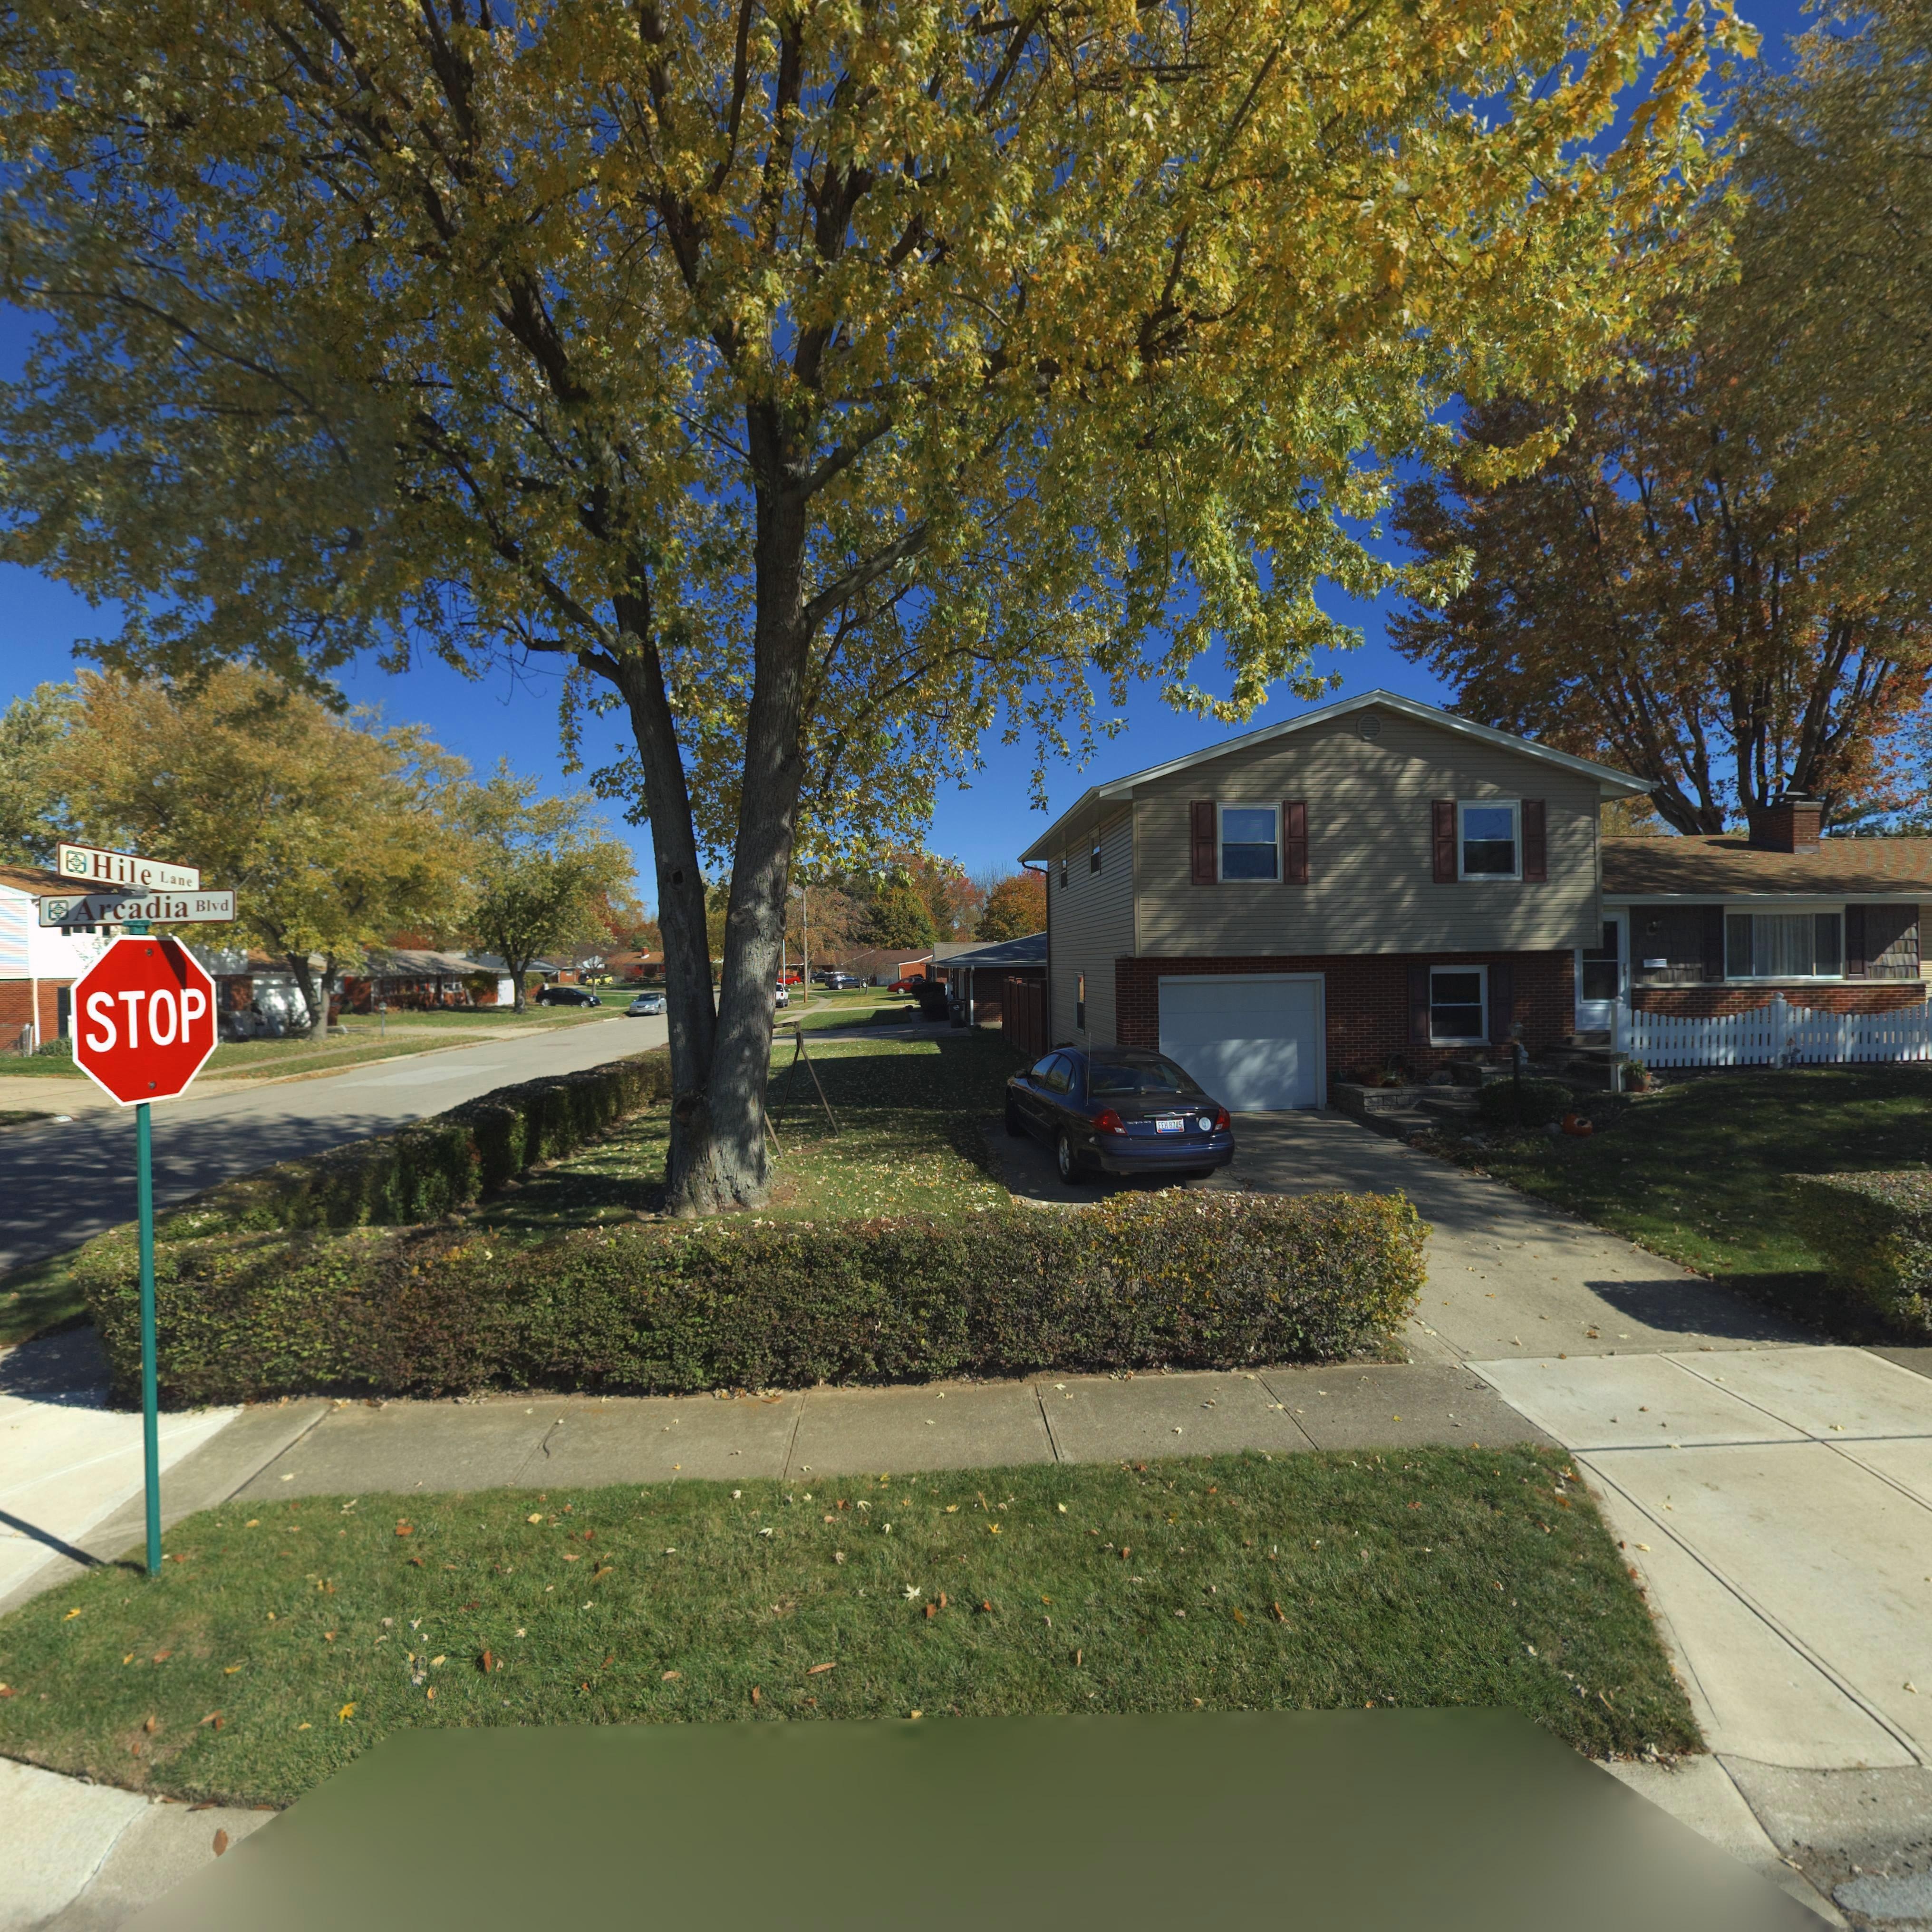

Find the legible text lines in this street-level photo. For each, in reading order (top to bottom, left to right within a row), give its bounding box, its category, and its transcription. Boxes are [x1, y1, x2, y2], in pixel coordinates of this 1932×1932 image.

[1612, 1053, 1627, 1062] StreetNumber: 716